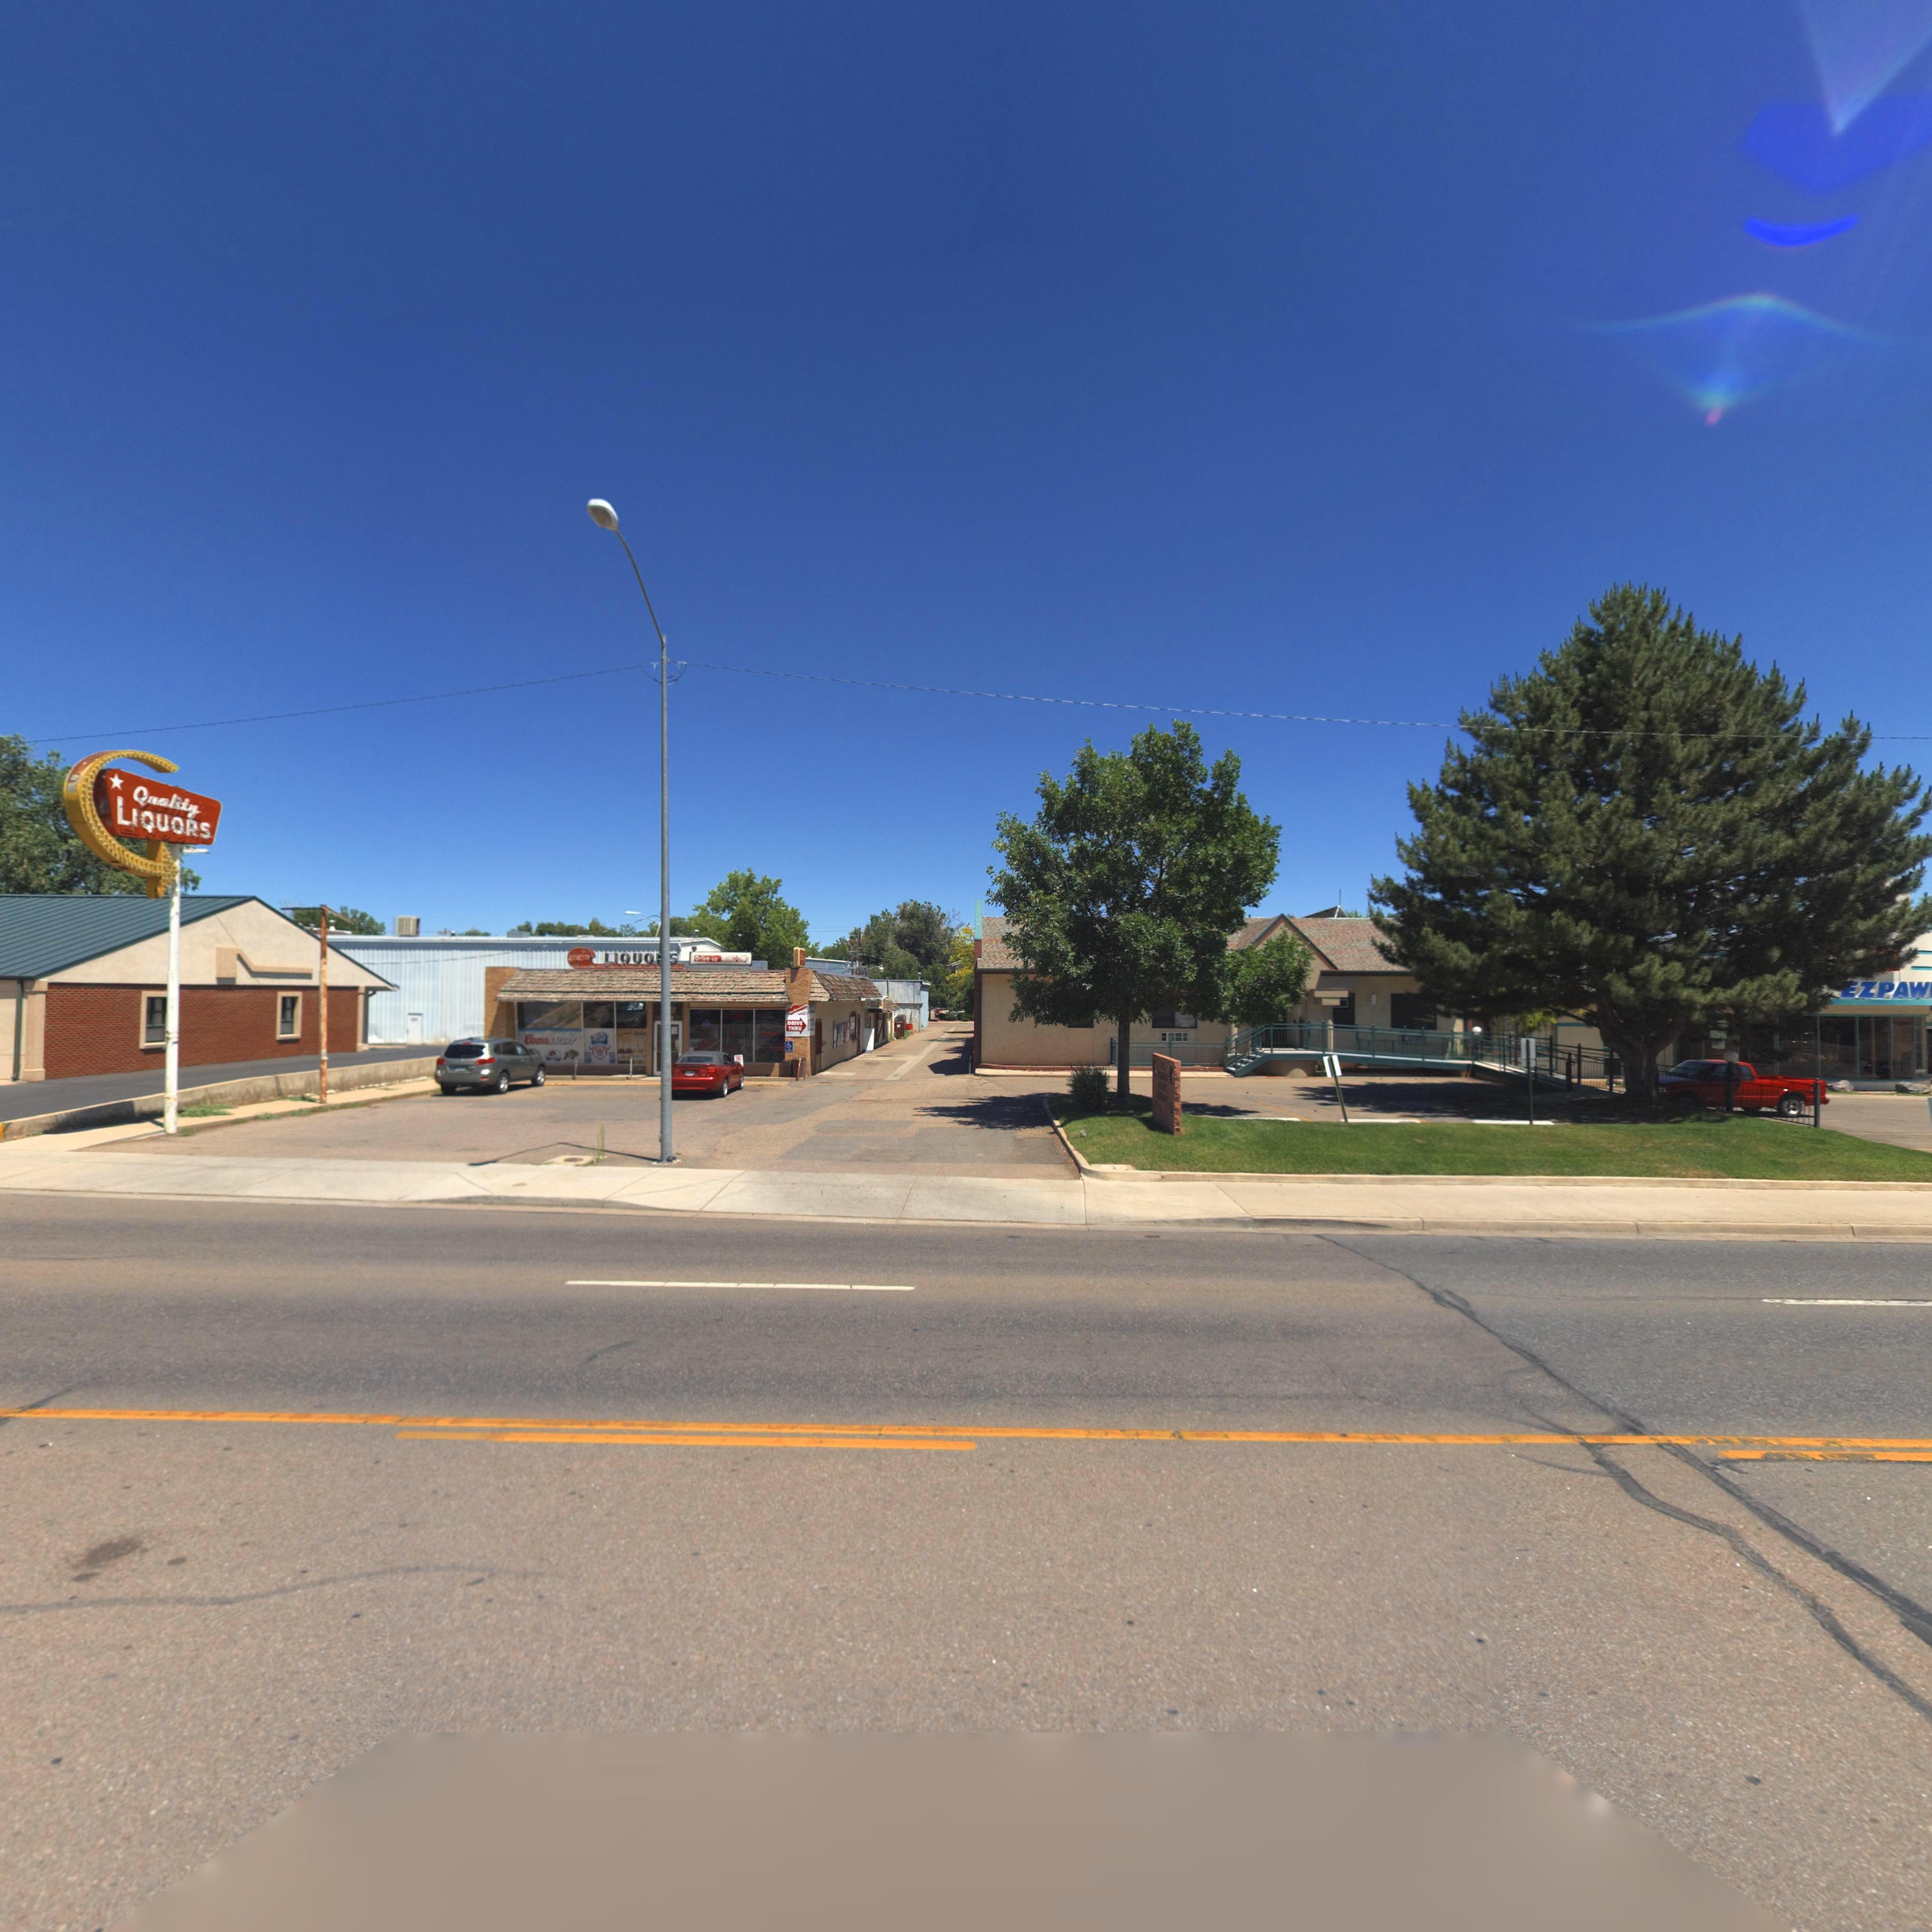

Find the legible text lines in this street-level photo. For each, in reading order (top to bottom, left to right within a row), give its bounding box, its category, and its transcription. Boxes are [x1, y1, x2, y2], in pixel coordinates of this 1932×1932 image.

[131, 784, 201, 819] BusinessName: Quality
[116, 794, 211, 840] BusinessName: LIQUORS
[567, 954, 590, 961] BusinessName: QUALITY
[603, 952, 678, 965] BusinessName: LIQUO*S
[1840, 980, 1931, 999] BusinessName: EZPAW